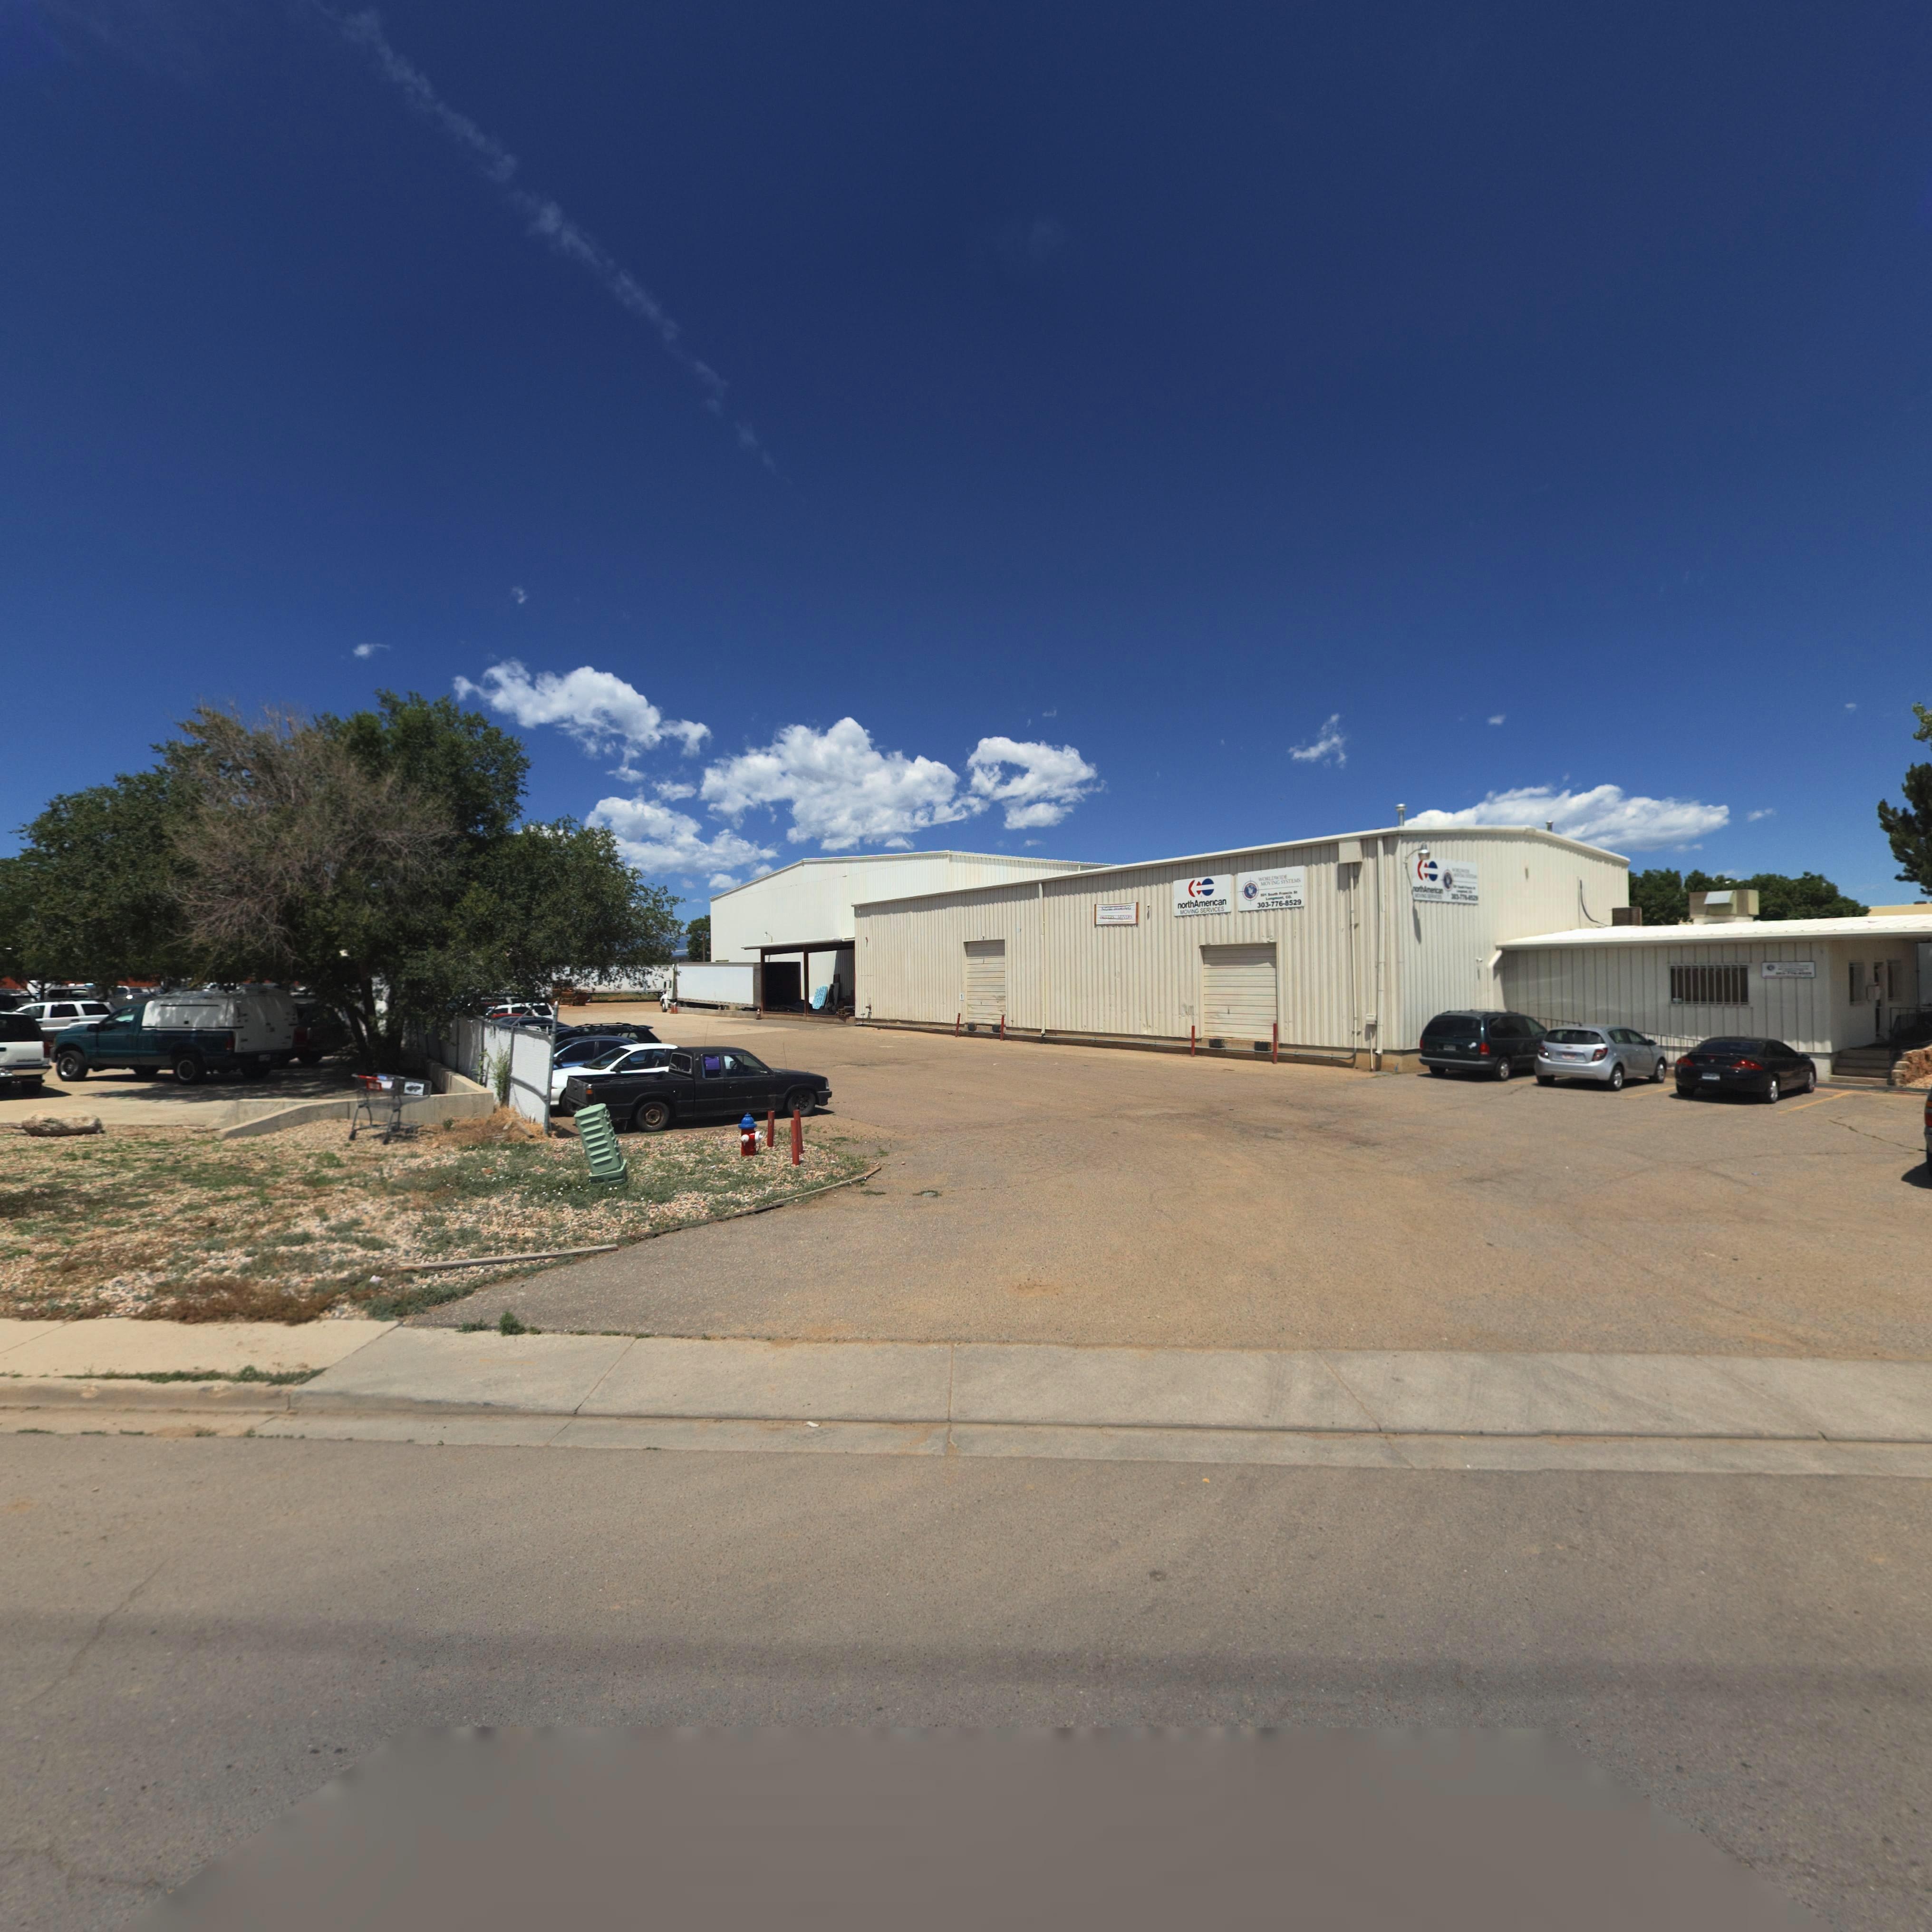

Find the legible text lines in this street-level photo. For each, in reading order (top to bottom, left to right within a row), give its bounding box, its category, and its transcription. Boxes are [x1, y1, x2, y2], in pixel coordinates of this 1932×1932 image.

[1257, 874, 1287, 881] BusinessName: WORLDWIDE
[1260, 877, 1301, 886] BusinessName: MOVING SYSTEMS
[1260, 892, 1266, 897] StreetNumber: *01
[1267, 890, 1298, 897] StreetNumber: South Fr**cis *t
[1412, 885, 1444, 894] BusinessName: north American
[1177, 898, 1226, 909] BusinessName: northAmerican
[1180, 906, 1225, 915] BusinessName: MOVING SYSTEMS